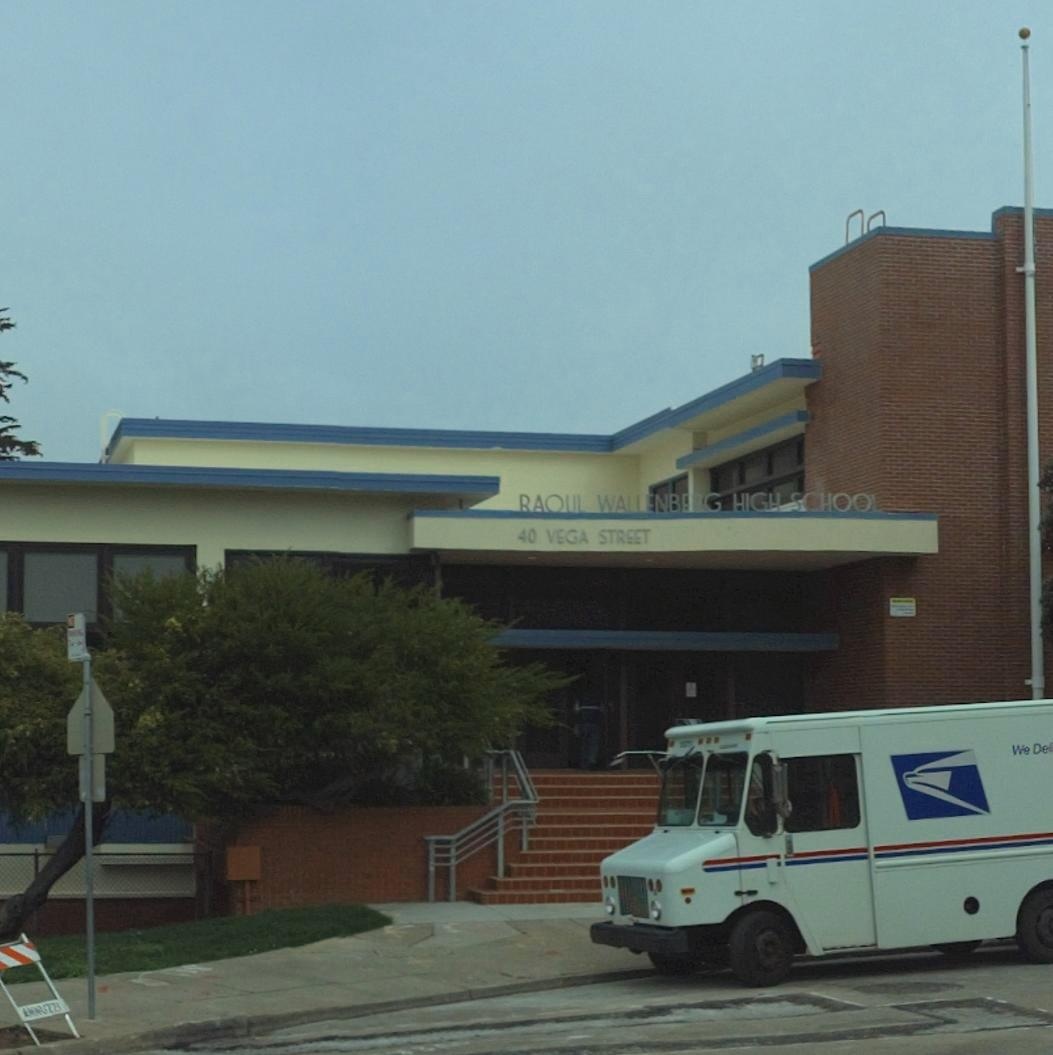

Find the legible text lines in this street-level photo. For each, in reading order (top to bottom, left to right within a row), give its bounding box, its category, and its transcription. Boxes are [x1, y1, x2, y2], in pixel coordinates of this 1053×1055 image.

[518, 492, 883, 513] BusinessName: RAOUL WALLENBE*G HIGH SCHOOL
[517, 526, 538, 545] StreetNumber: 40
[543, 527, 651, 545] StreetName: VEGA STREET
[1010, 739, 1053, 757] None: We Del*